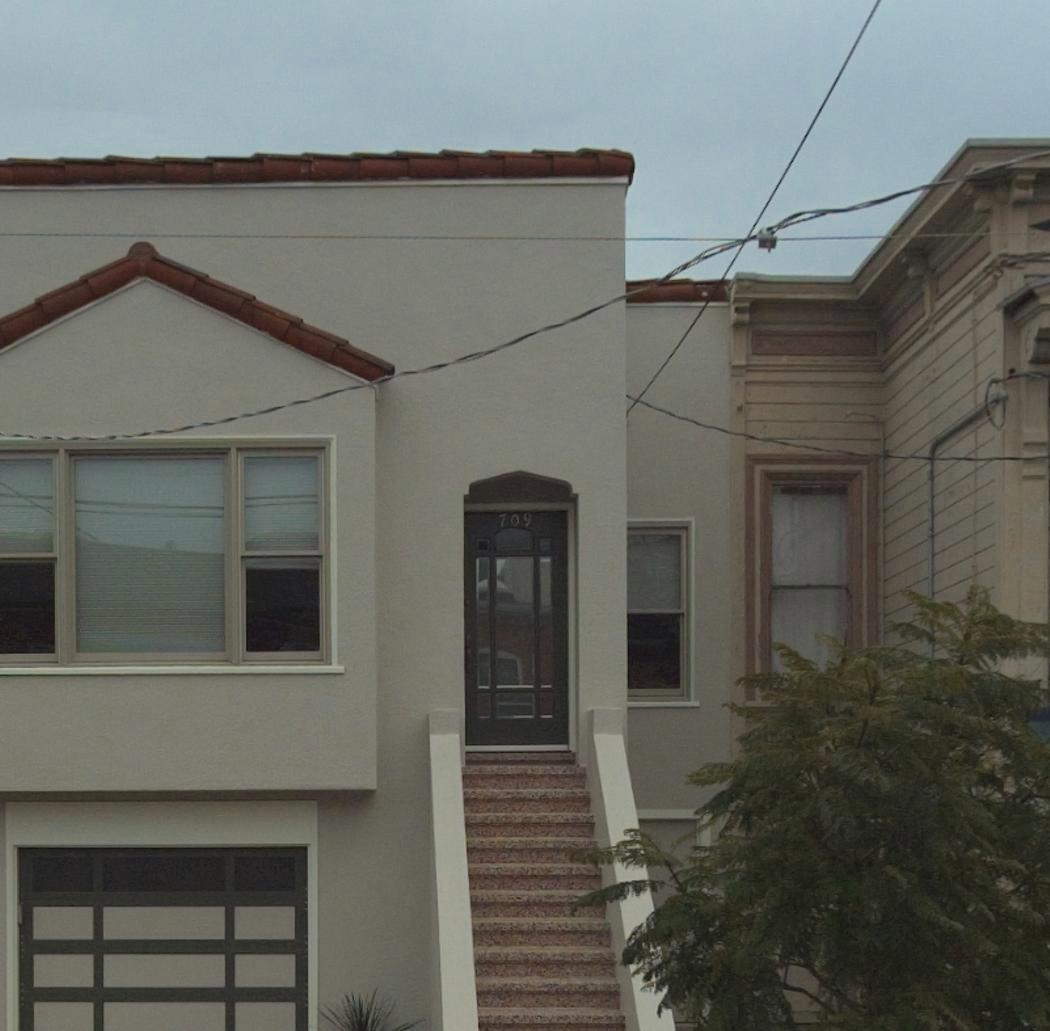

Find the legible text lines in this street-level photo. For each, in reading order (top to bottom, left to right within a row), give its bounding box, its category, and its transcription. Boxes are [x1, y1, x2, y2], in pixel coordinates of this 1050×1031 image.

[496, 512, 533, 528] StreetNumber: 709